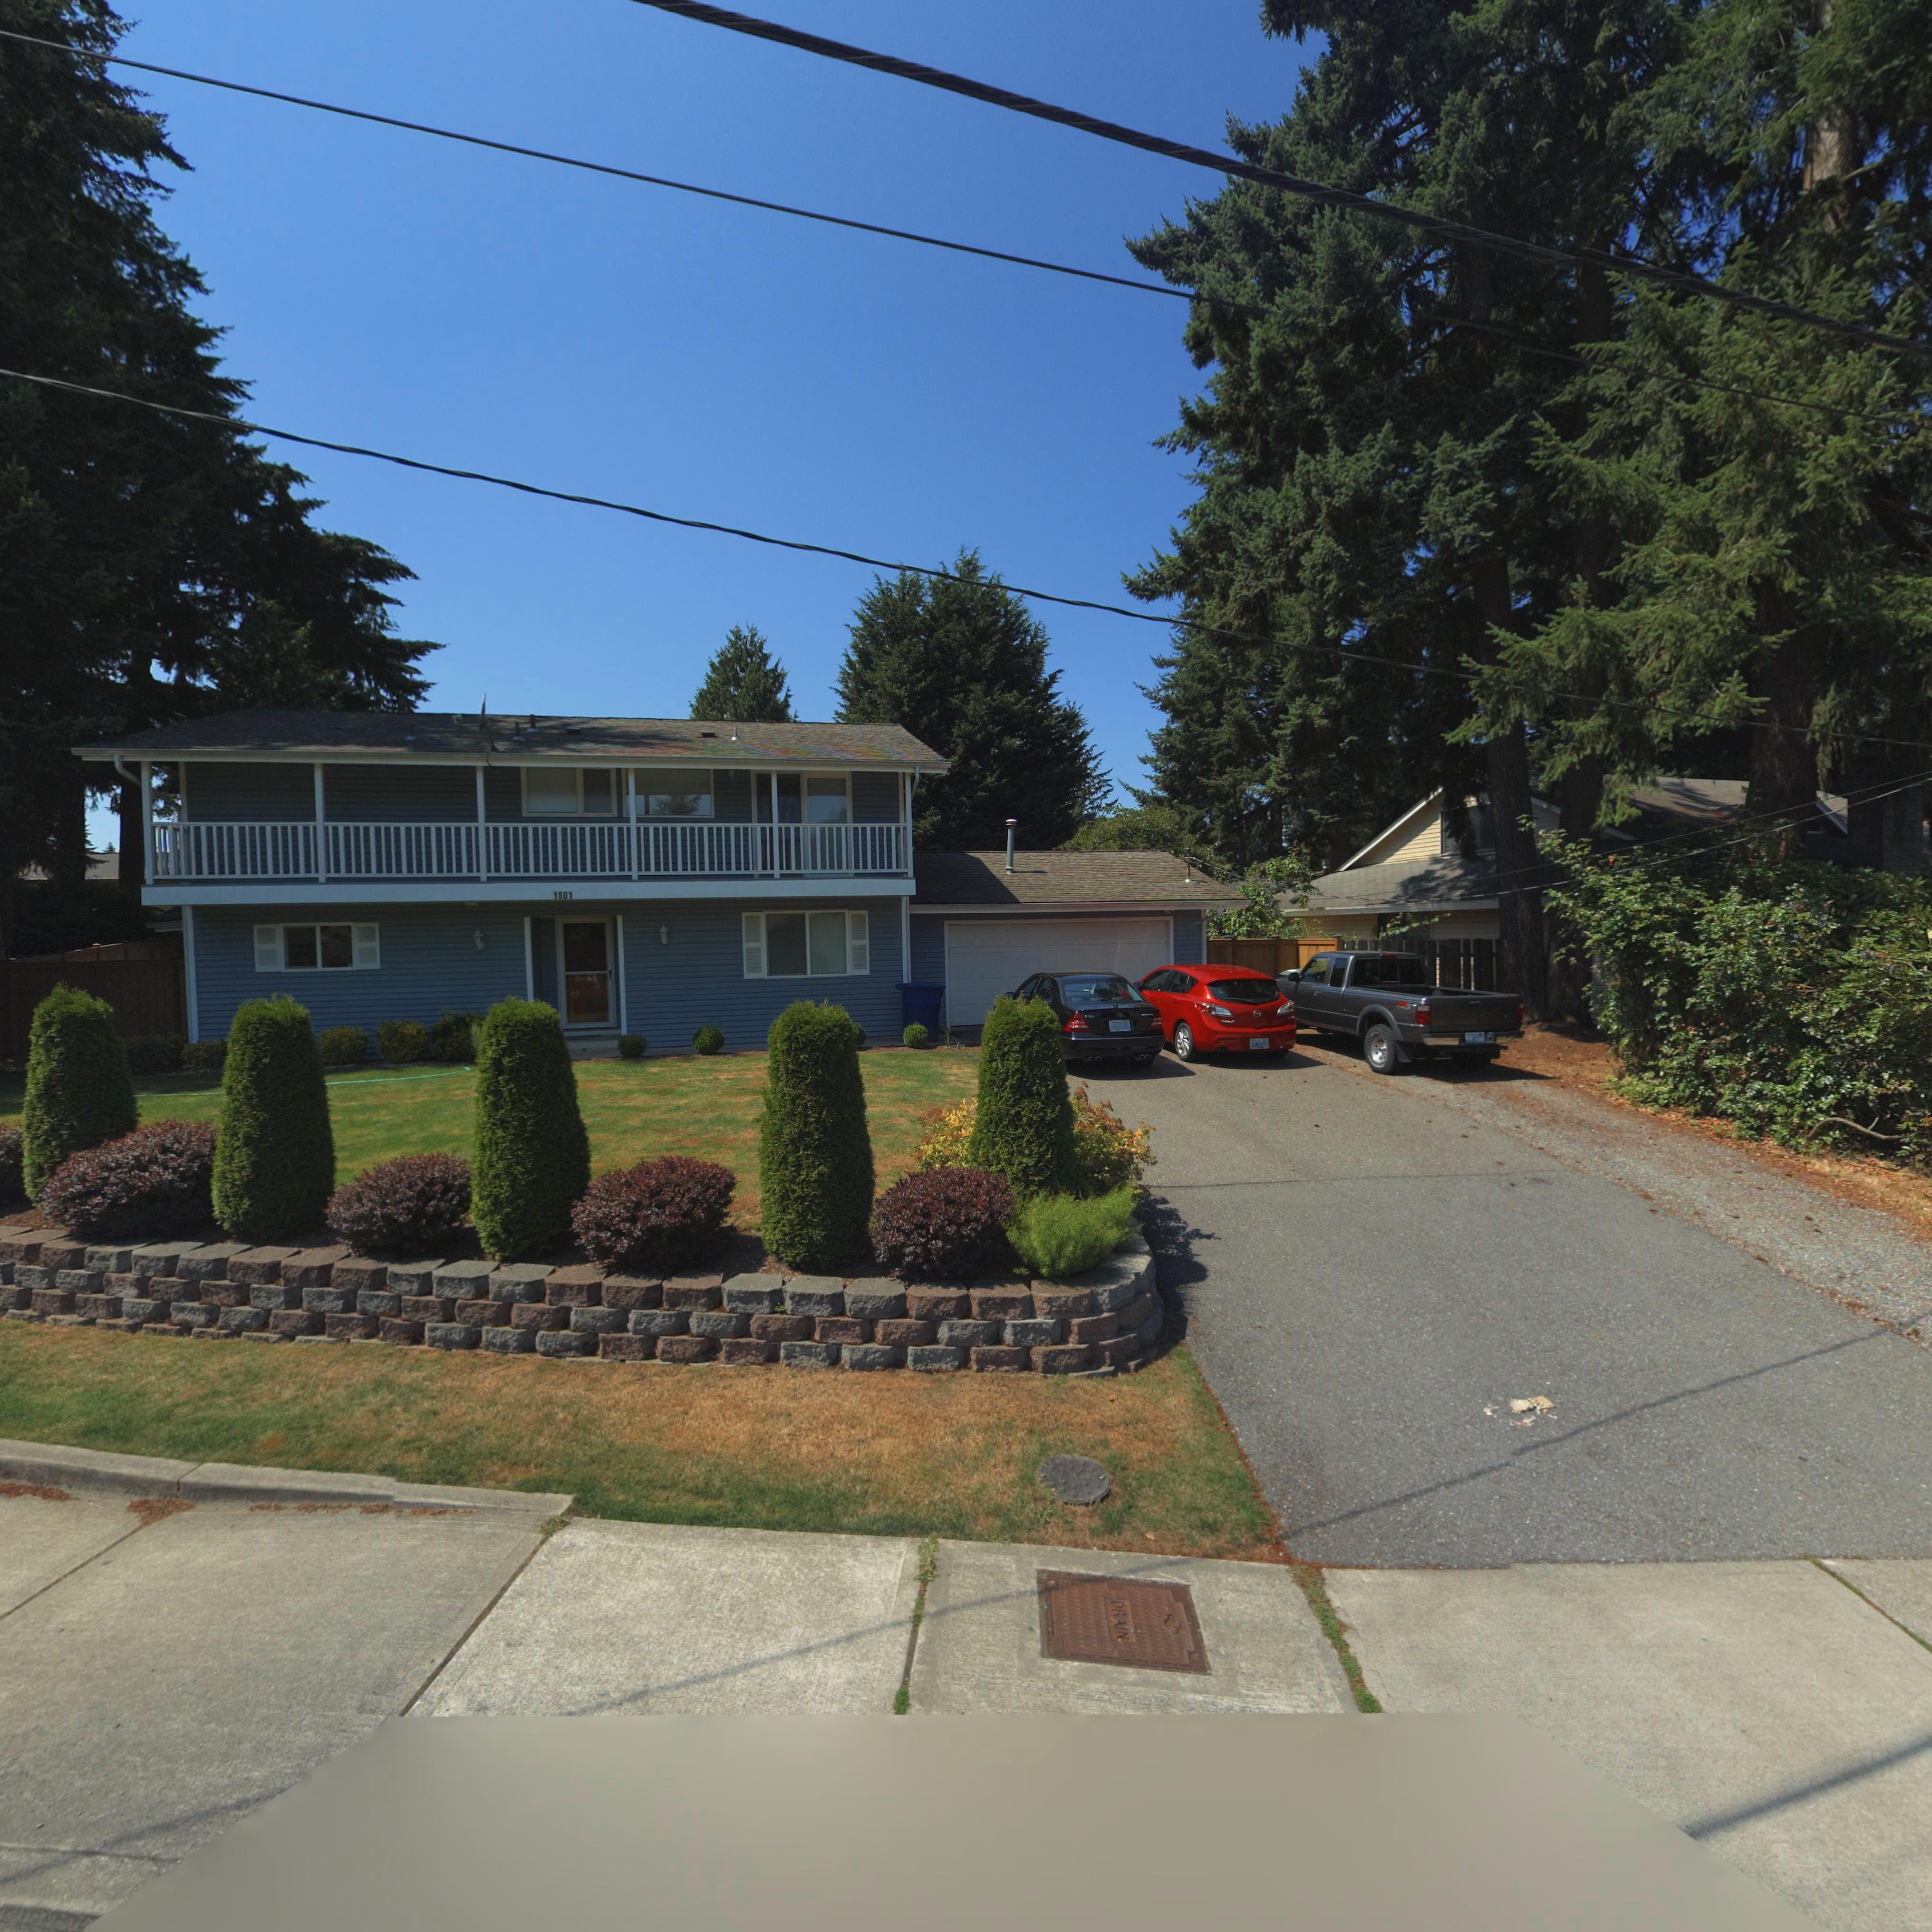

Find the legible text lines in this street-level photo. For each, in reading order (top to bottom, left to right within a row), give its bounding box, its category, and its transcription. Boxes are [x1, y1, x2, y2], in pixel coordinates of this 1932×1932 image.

[553, 891, 572, 899] StreetNumber: 1801